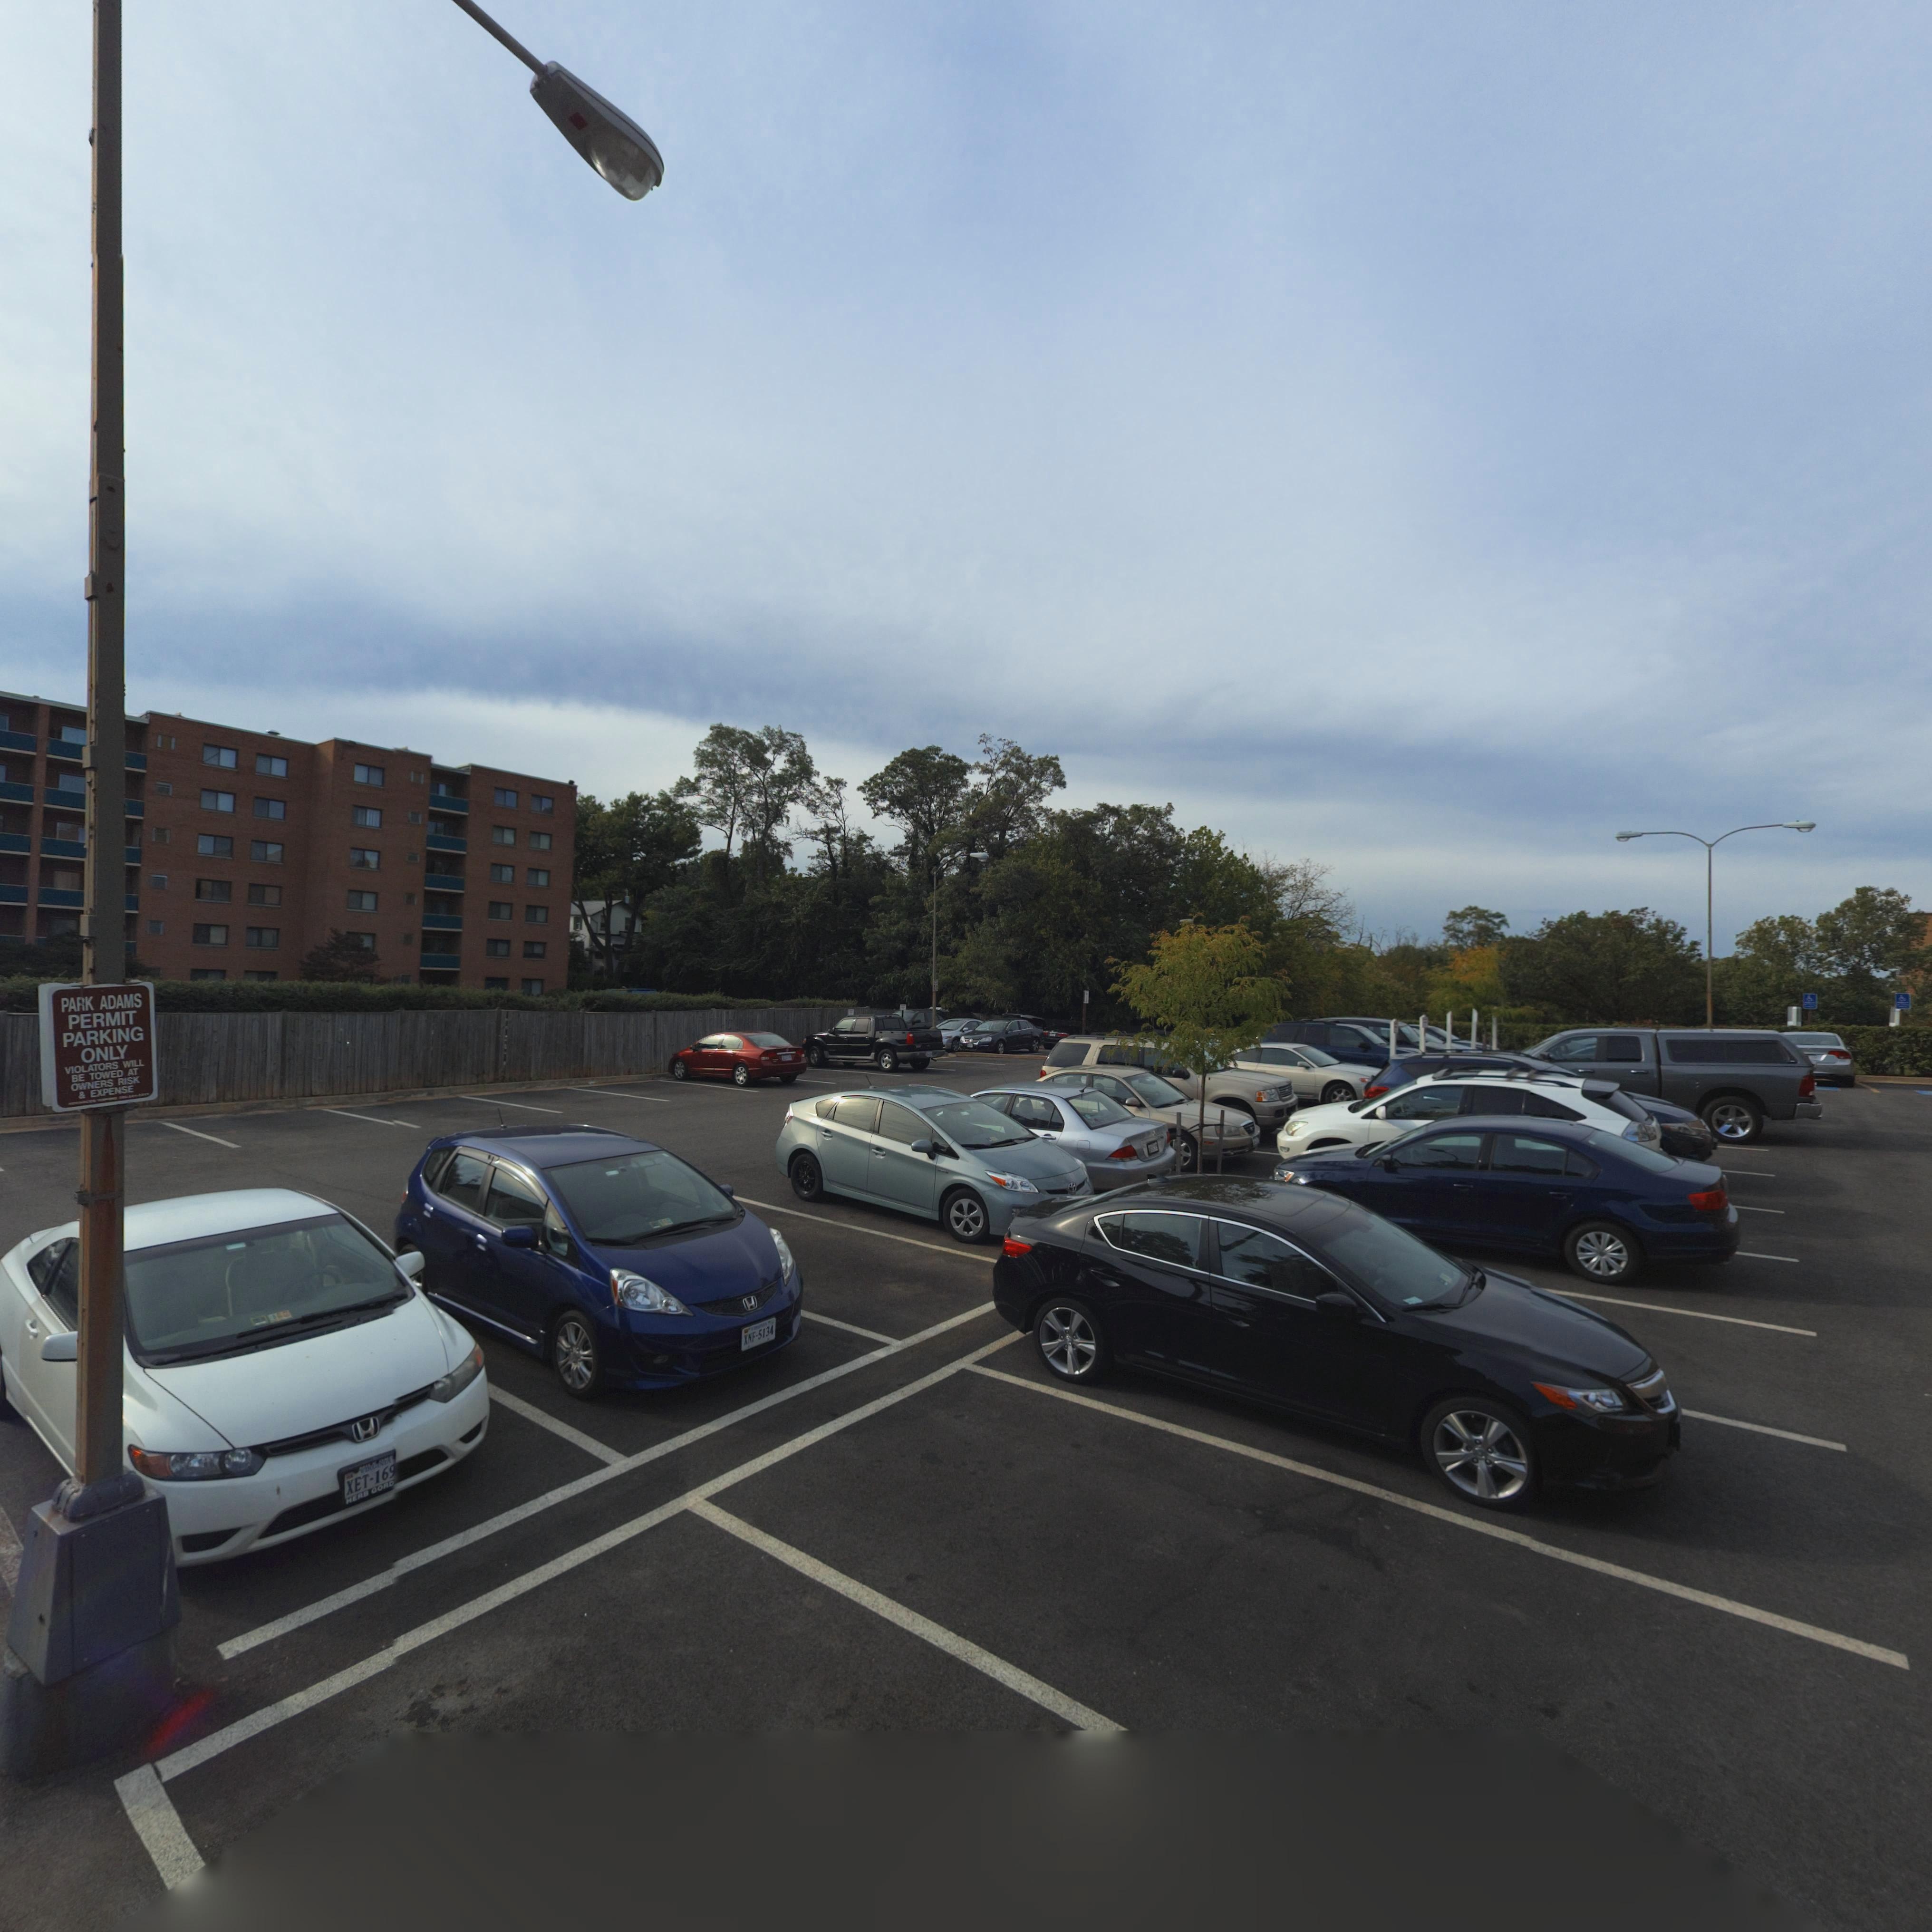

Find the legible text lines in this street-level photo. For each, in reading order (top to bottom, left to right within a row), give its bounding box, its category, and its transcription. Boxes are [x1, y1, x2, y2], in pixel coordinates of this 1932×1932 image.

[59, 991, 145, 1014] None: PARK ADAMS
[67, 1007, 138, 1033] None: PERMIT
[60, 1024, 145, 1049] None: PARKING
[78, 1043, 129, 1066] None: ONLY
[61, 1057, 148, 1075] None: VIOLATORS WILL
[69, 1066, 140, 1085] None: BE TOWED AT
[76, 1083, 135, 1101] None: & EXPENSE
[70, 1074, 142, 1092] None: OWNERS RISK
[743, 1323, 775, 1348] None: XNF-5134
[343, 1461, 399, 1499] None: XET-169
[345, 1479, 396, 1506] None: MERB GOND